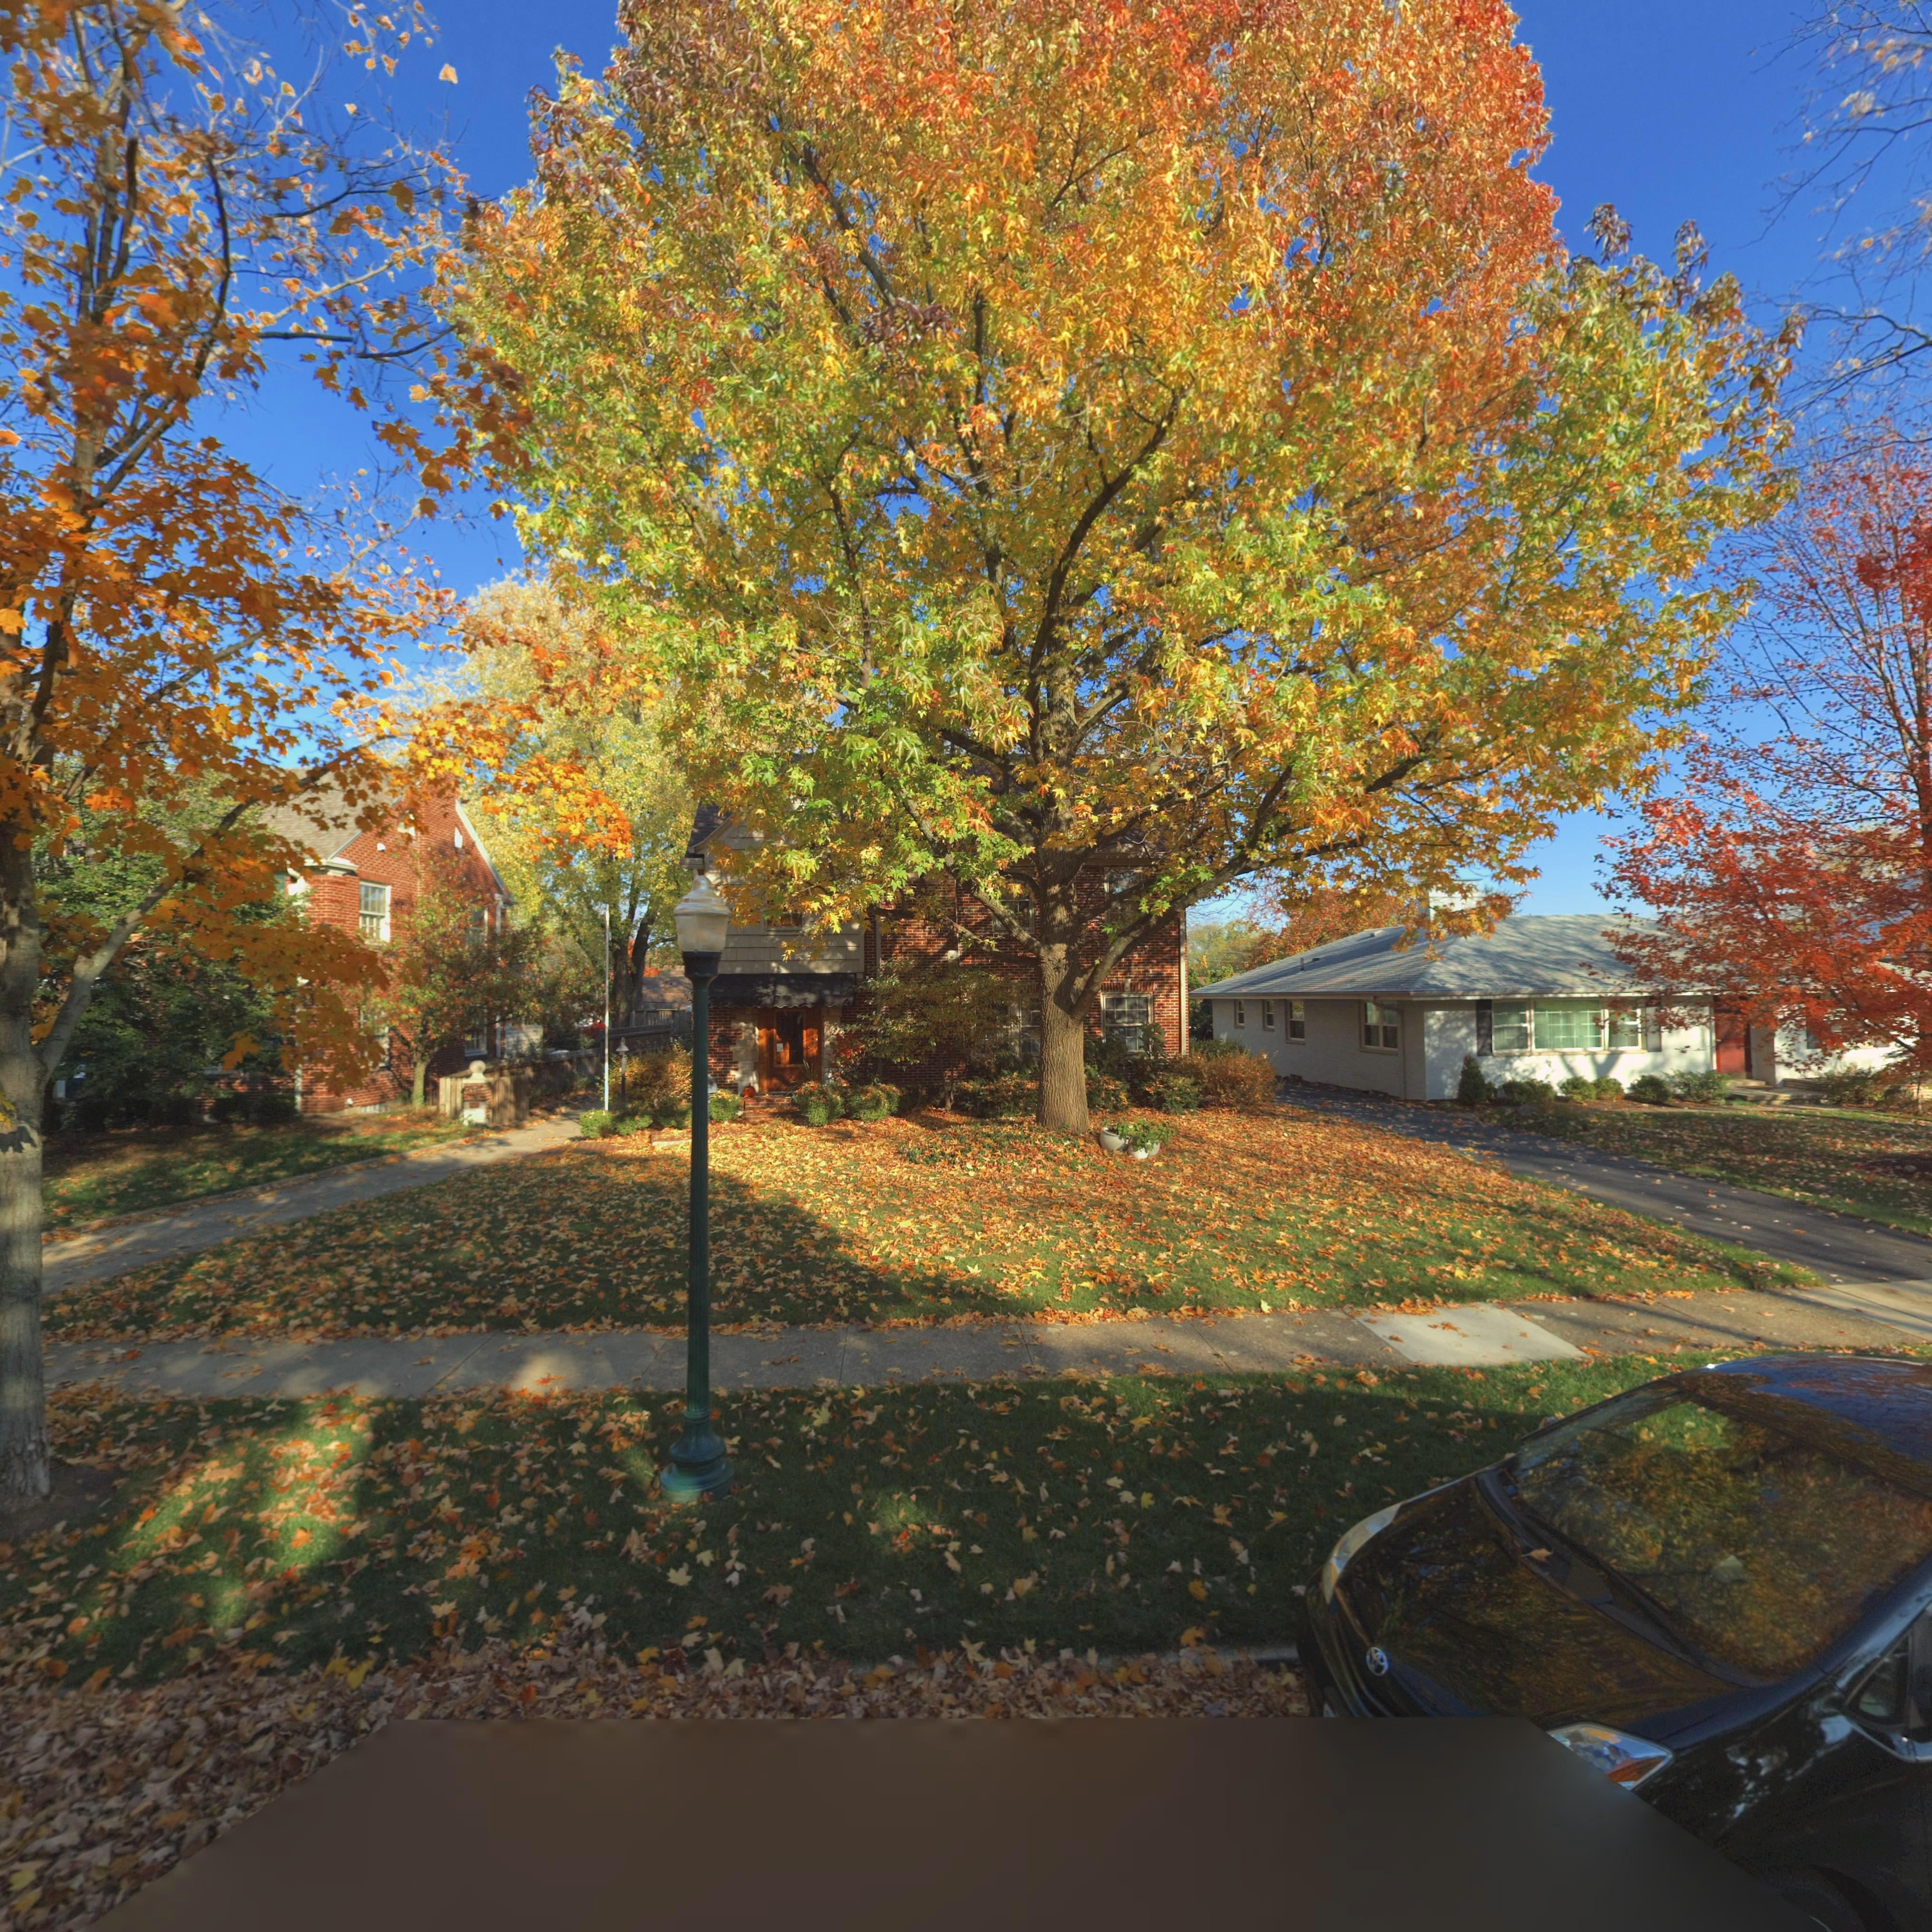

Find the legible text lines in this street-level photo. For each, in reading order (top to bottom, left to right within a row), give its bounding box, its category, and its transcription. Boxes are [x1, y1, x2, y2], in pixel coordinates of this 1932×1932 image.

[719, 1036, 726, 1041] StreetNumber: 5*3